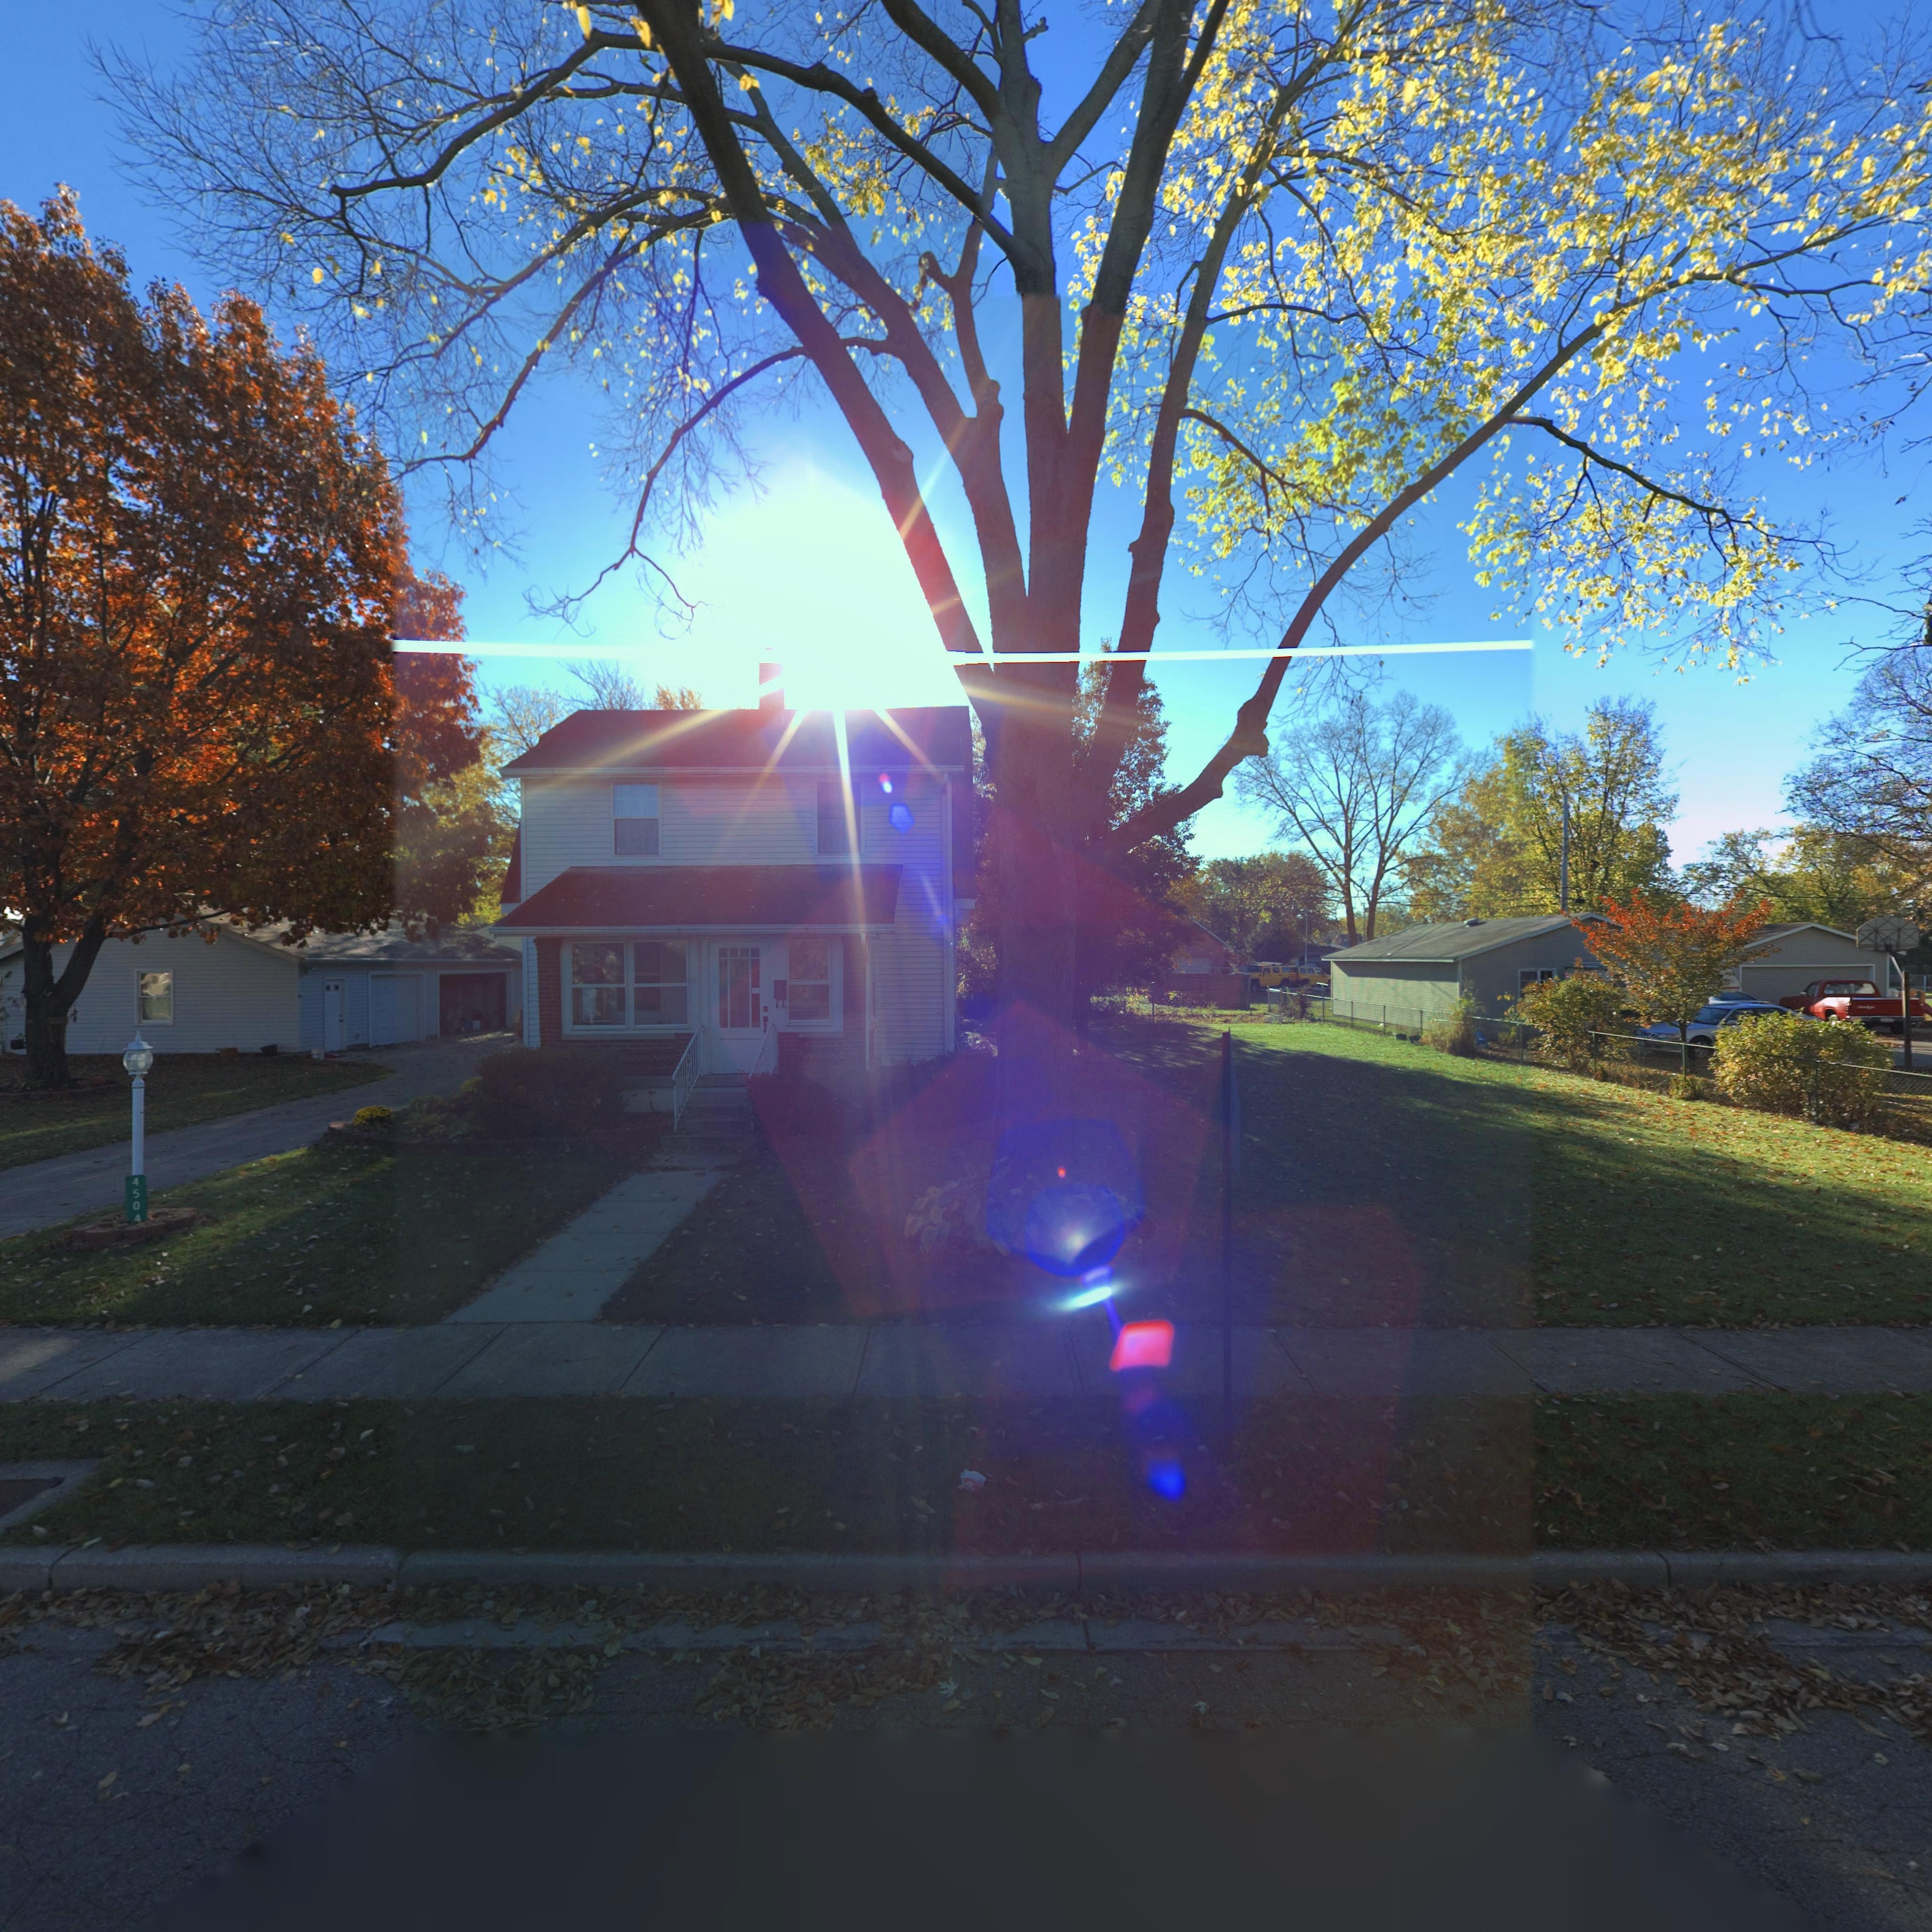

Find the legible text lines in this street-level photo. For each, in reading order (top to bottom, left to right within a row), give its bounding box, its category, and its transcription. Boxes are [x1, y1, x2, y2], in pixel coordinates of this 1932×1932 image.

[131, 1176, 142, 1223] StreetNumber: 4504